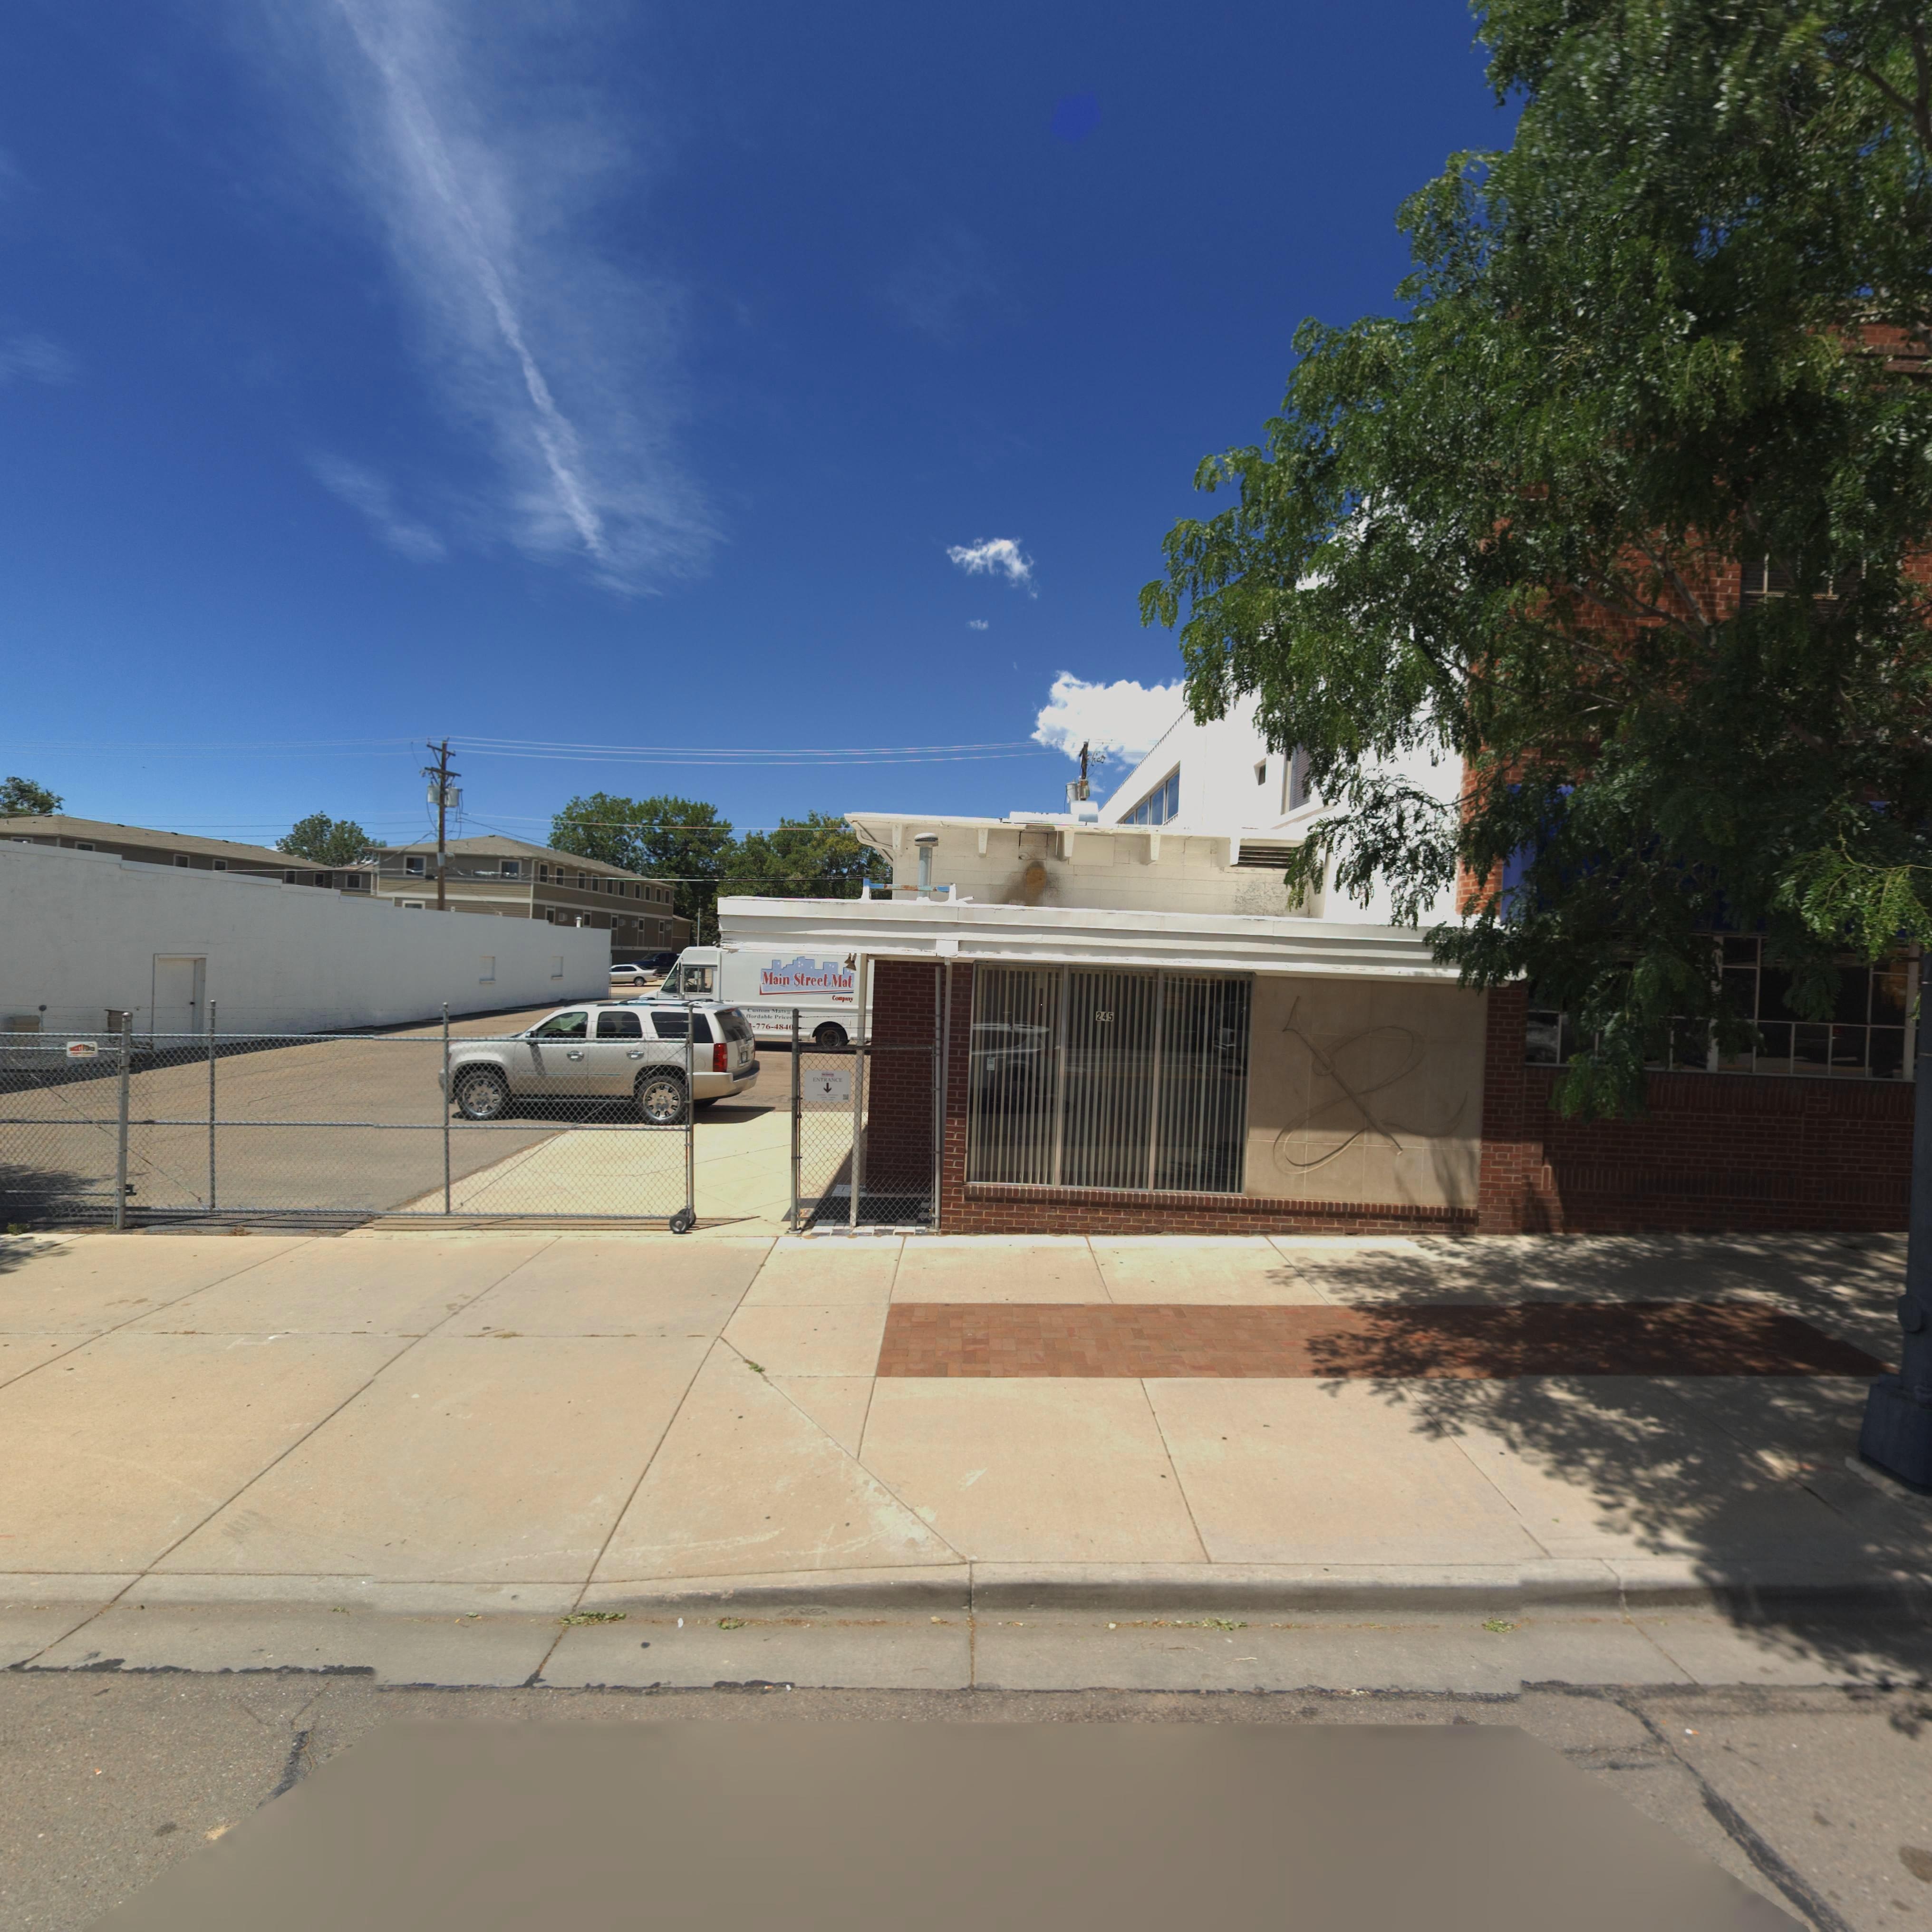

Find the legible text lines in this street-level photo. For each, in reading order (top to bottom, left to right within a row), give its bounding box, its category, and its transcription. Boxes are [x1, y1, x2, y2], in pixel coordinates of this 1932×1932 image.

[1096, 1011, 1112, 1021] StreetNumber: 245